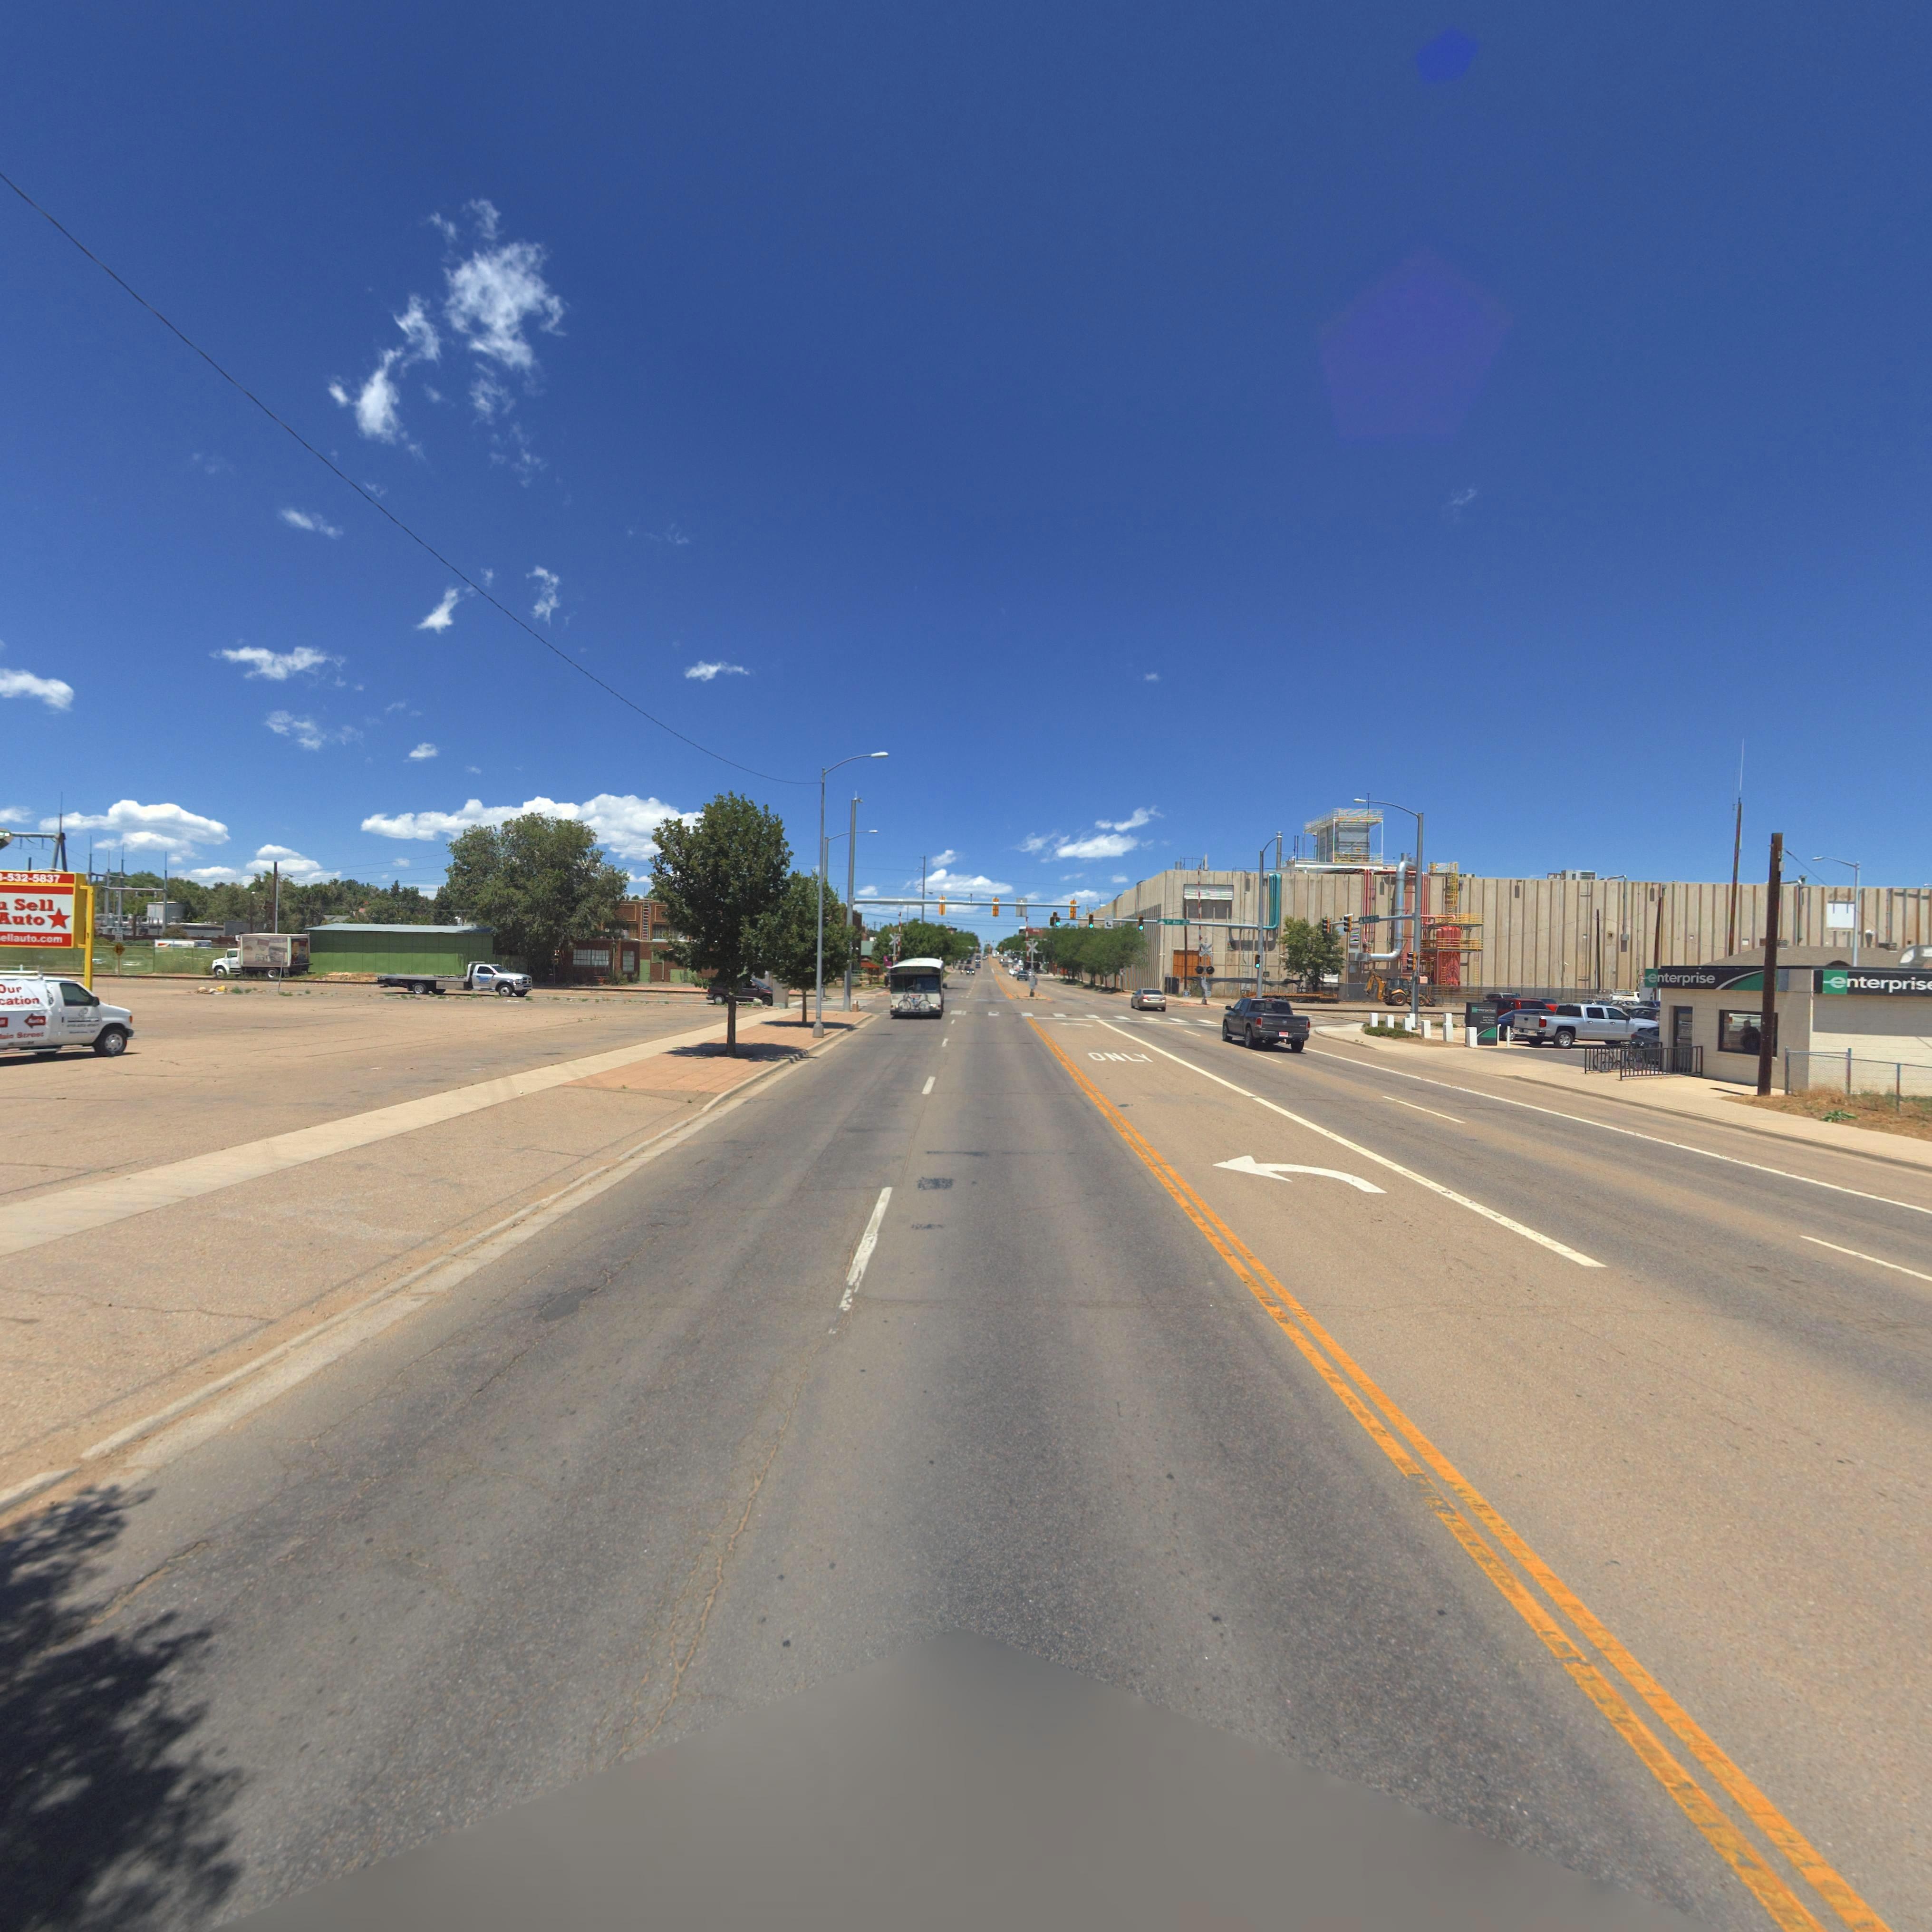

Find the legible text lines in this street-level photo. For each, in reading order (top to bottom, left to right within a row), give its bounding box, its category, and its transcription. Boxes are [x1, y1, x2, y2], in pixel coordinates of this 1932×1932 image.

[13, 898, 54, 911] BusinessName: Sell
[10, 912, 46, 926] BusinessName: uto
[1166, 919, 1181, 925] StreetName: 1ST Ave
[1363, 916, 1374, 923] StreetName: **** S*
[1645, 971, 1716, 986] BusinessName: enterprise
[1822, 975, 1928, 994] BusinessName: enterpris
[1473, 1008, 1495, 1013] BusinessName: ***er***